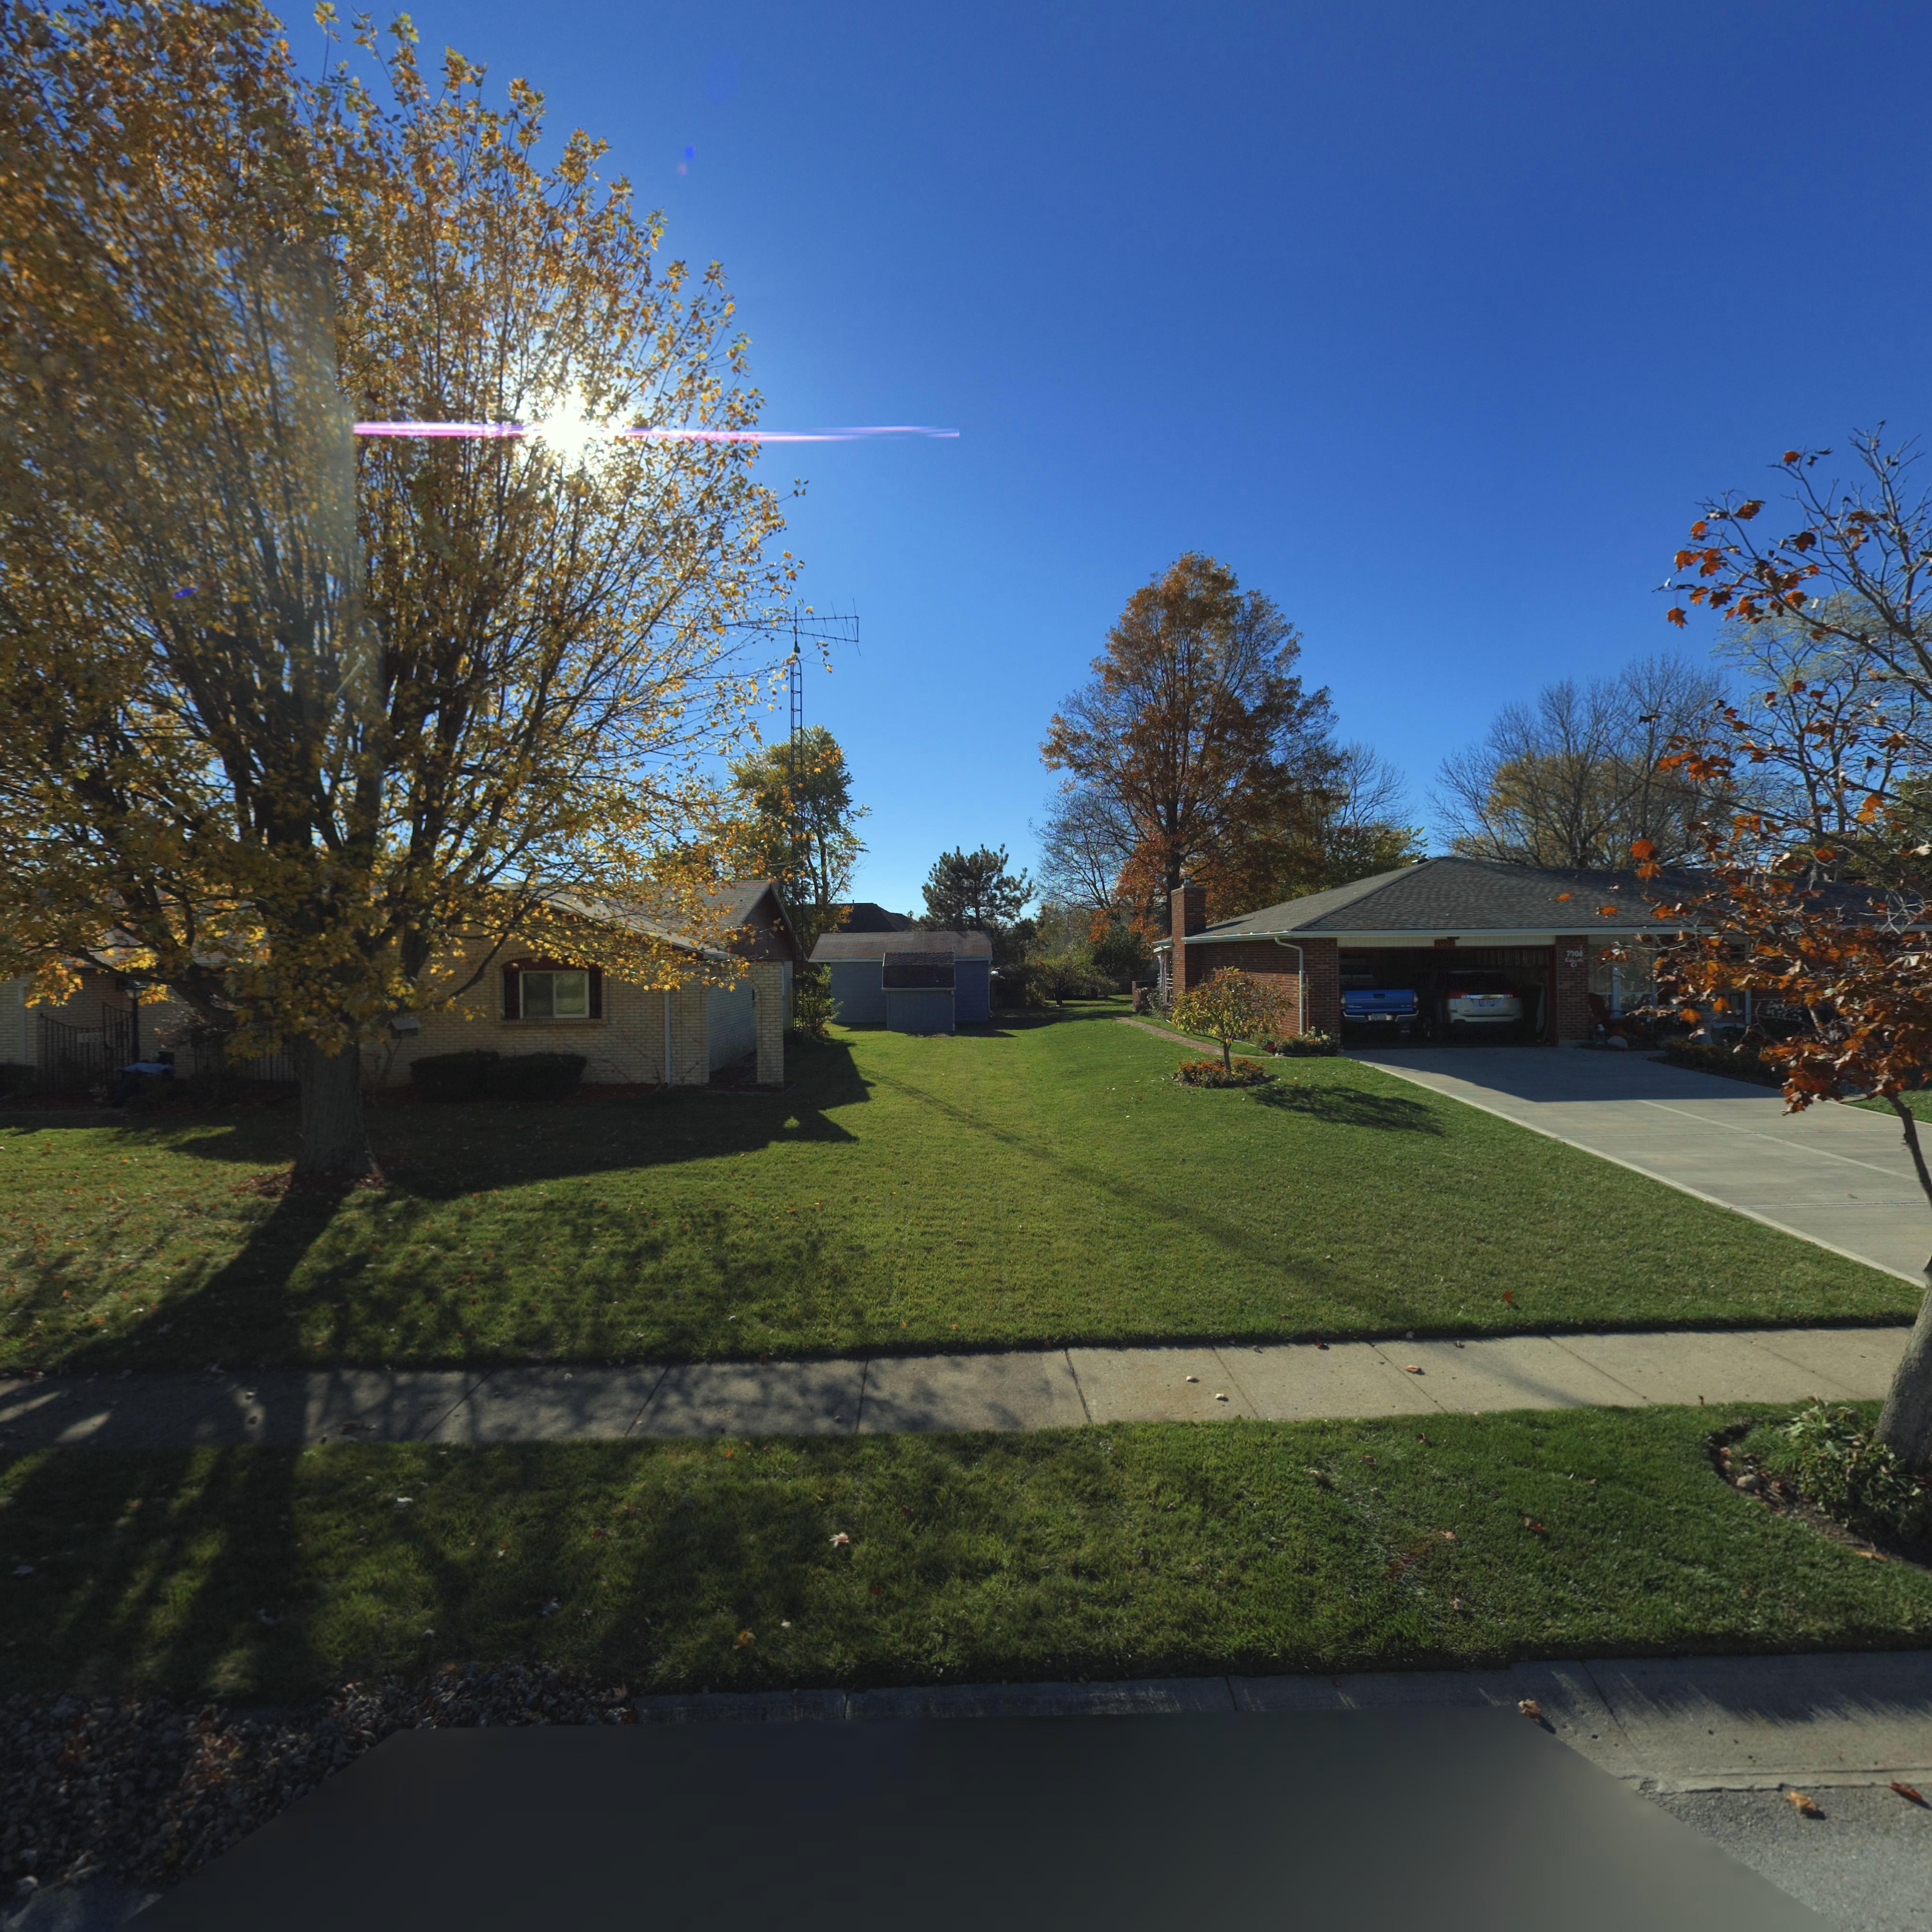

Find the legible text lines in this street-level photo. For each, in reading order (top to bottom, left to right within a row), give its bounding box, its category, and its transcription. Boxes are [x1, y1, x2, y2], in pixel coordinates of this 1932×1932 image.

[1435, 939, 1456, 947] StreetNumber: 700*
[1565, 949, 1584, 957] StreetNumber: 7006
[80, 1033, 104, 1042] StreetNumber: 700*